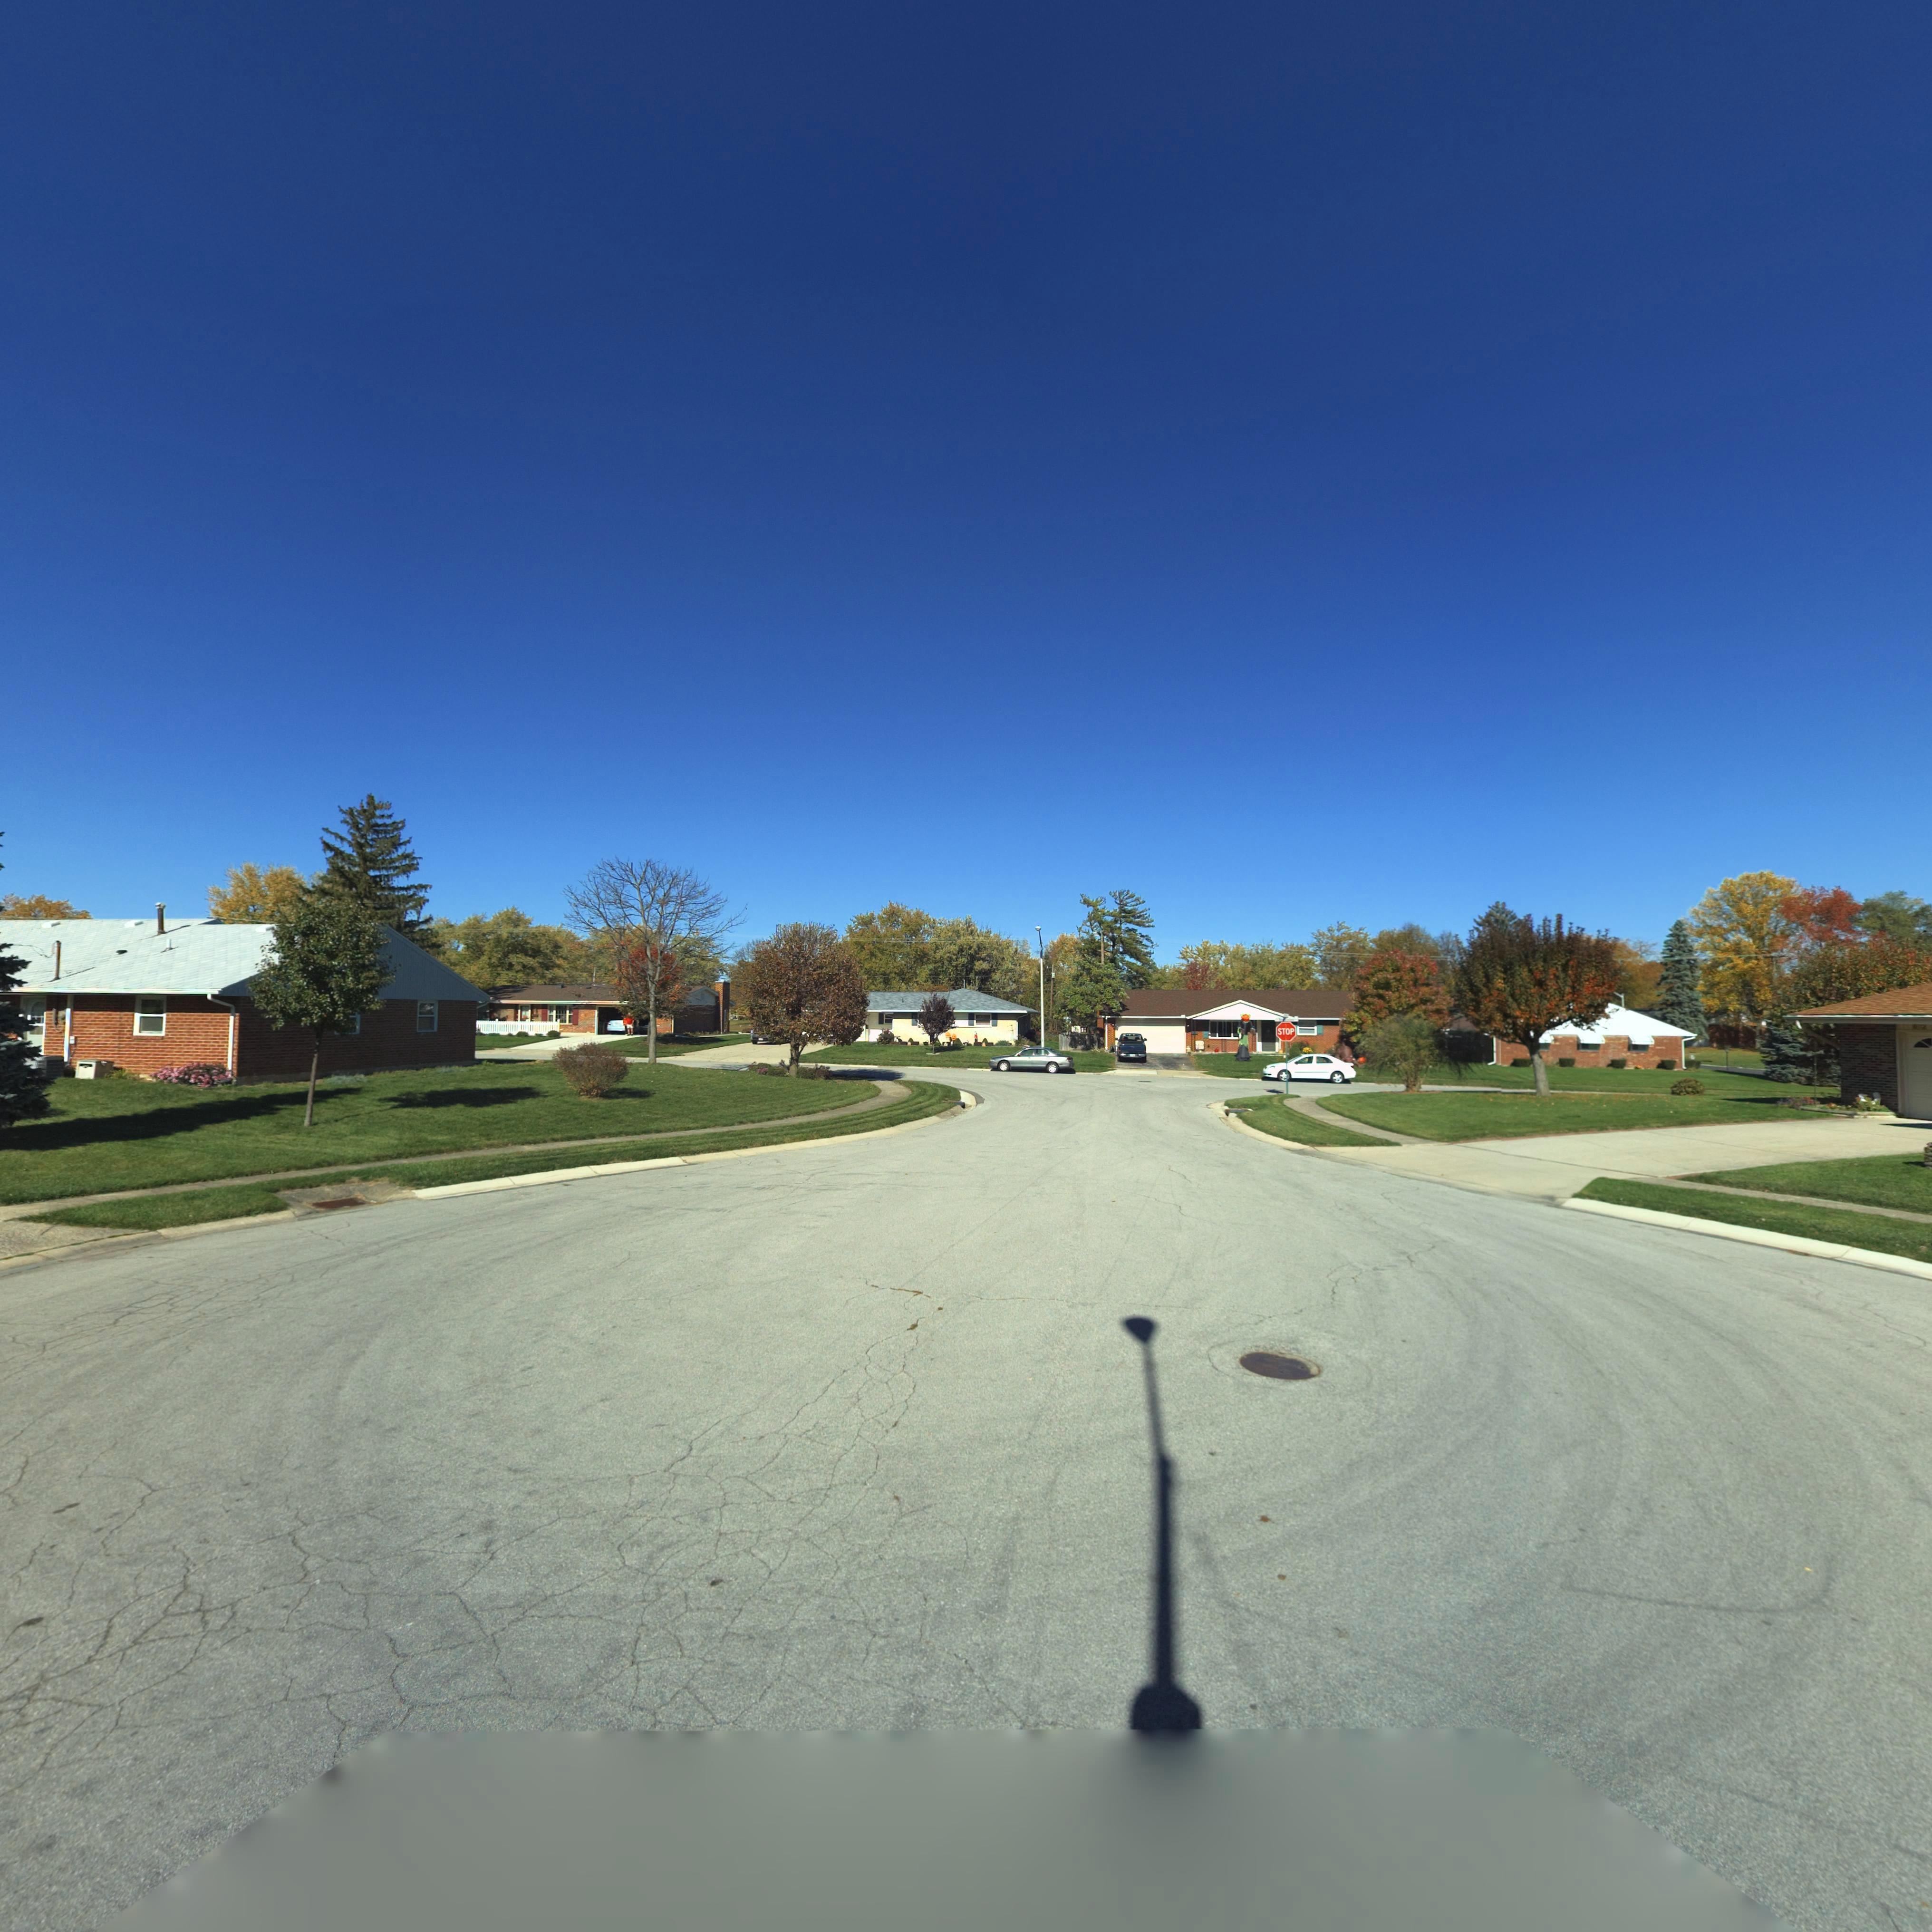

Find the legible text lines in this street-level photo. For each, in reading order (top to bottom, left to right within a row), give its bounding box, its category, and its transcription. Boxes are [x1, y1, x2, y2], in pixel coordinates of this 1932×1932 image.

[1912, 1024, 1927, 1030] StreetNumber: 6*2